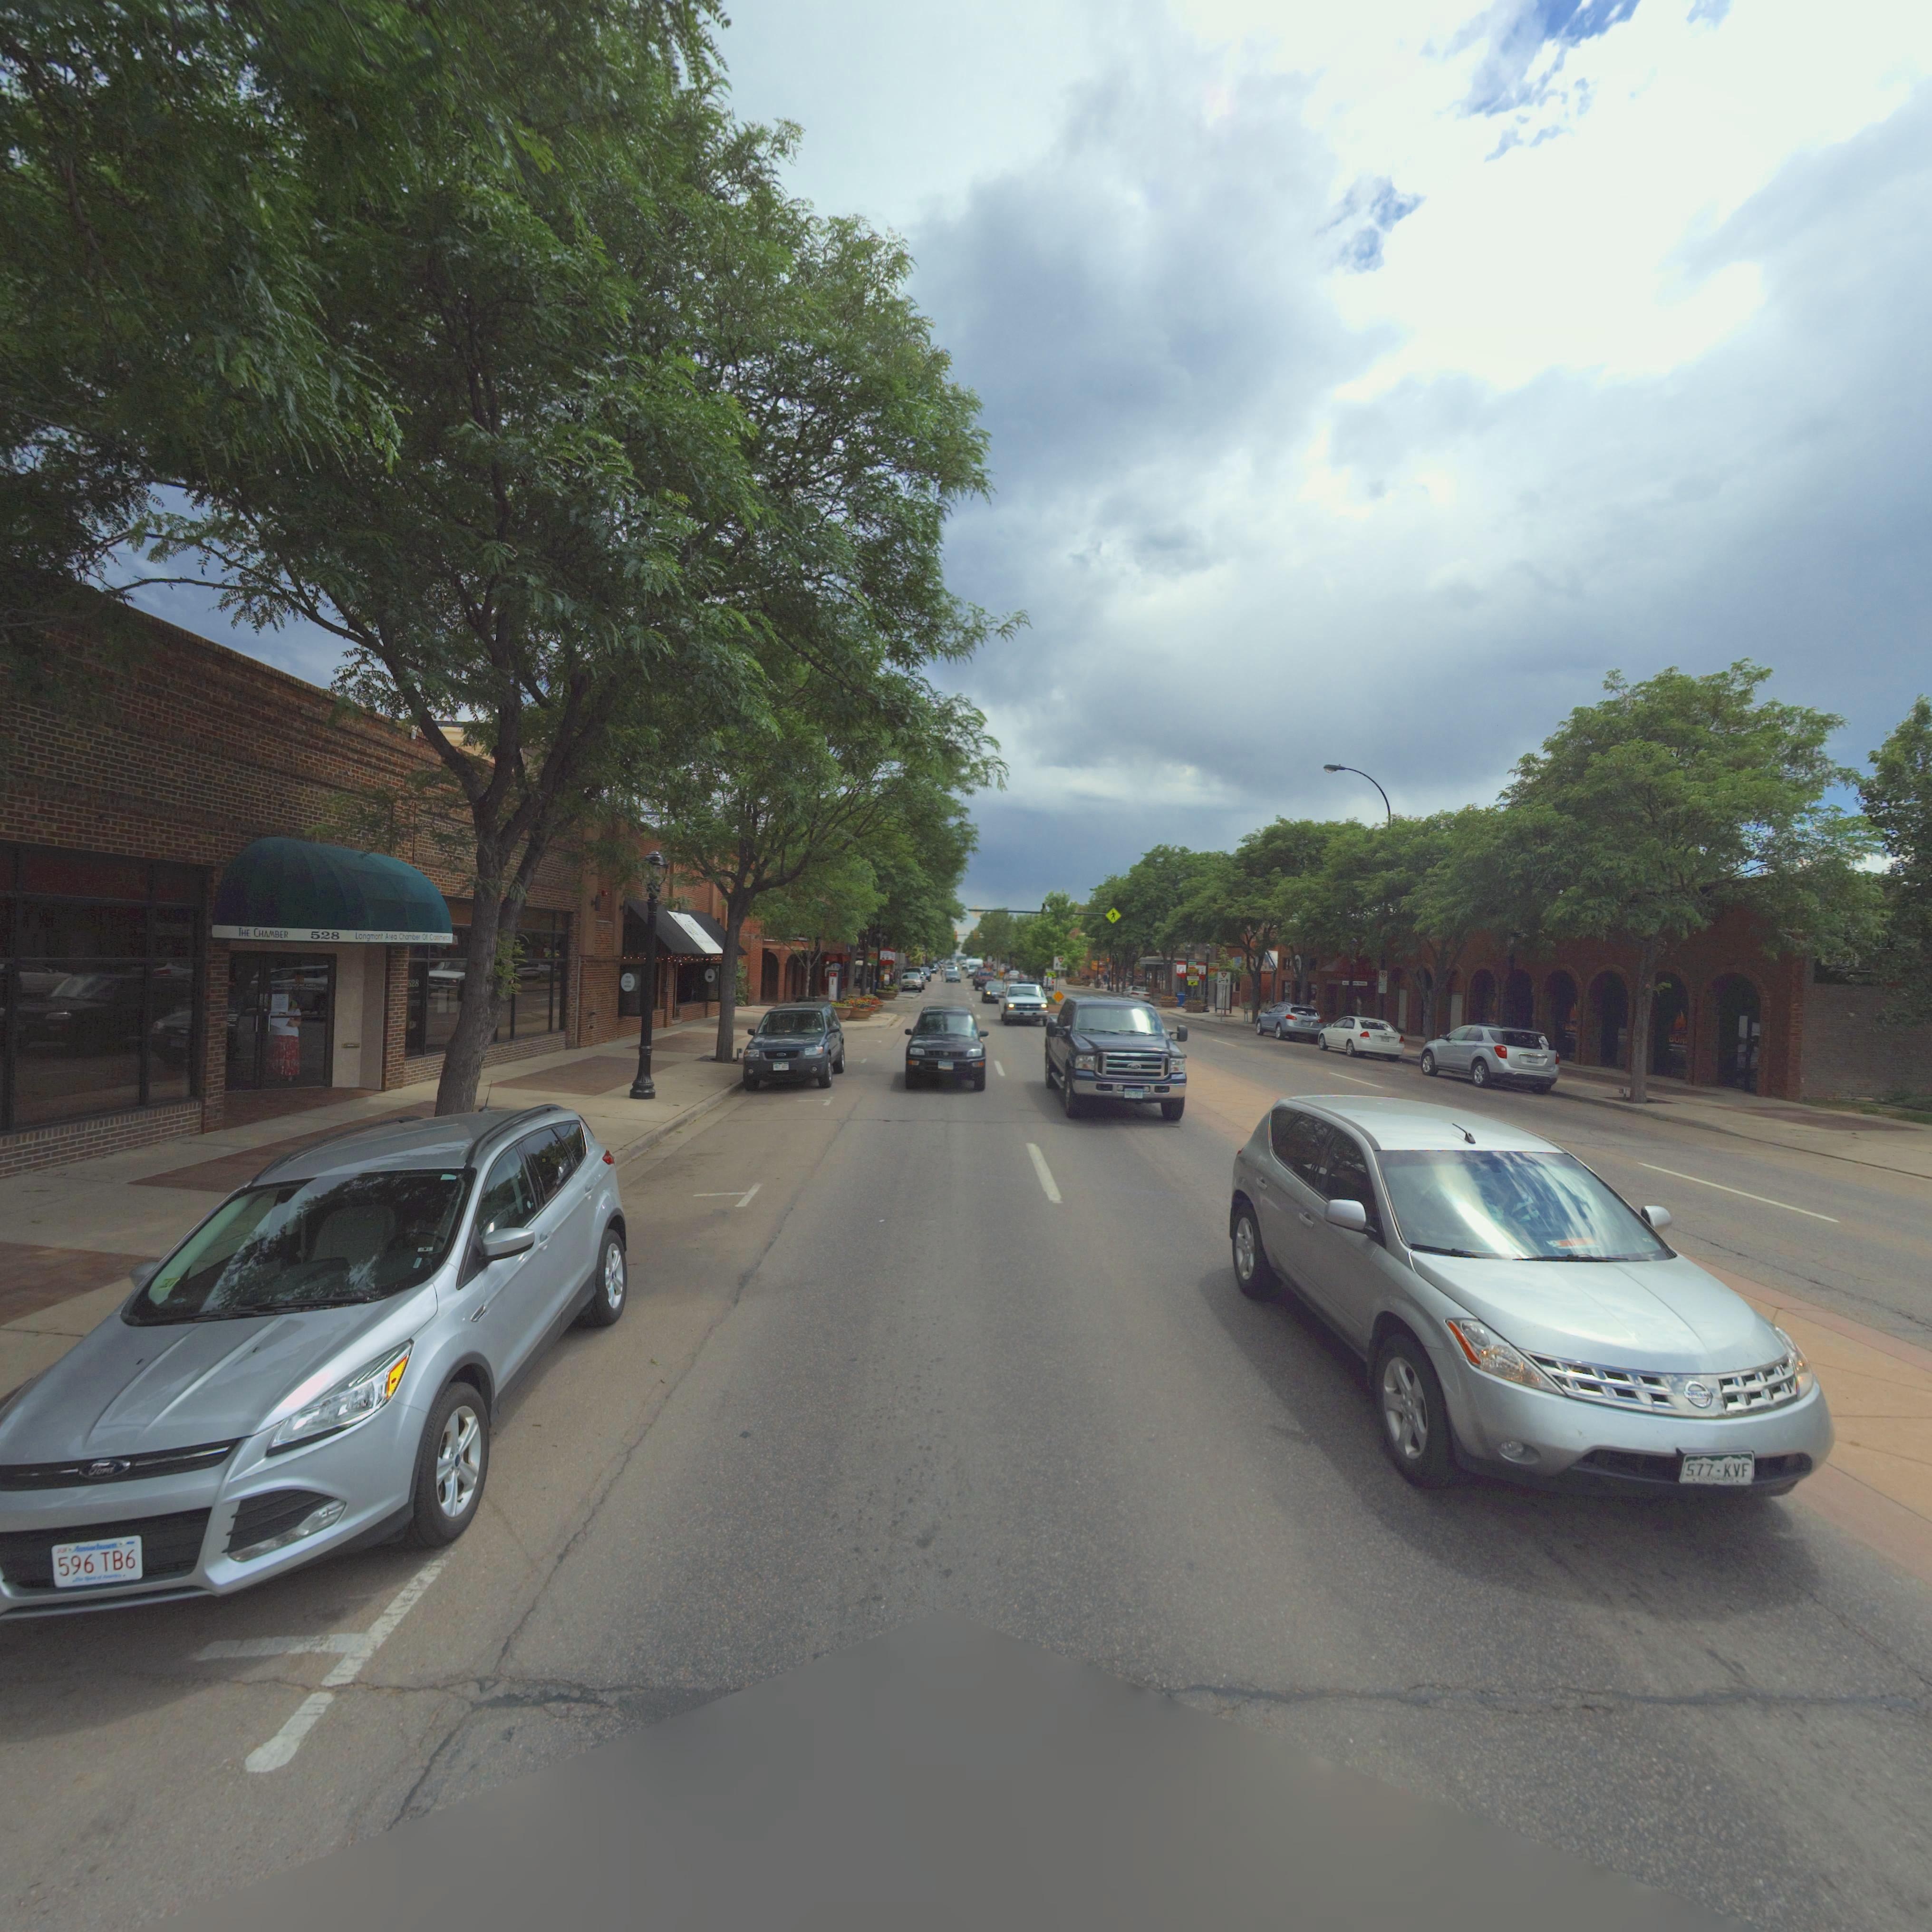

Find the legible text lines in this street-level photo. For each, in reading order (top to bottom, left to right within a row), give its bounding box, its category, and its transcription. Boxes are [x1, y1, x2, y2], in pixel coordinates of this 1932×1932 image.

[237, 926, 289, 938] BusinessName: THE CHAMBER
[310, 931, 339, 940] StreetNumber: 528
[355, 931, 451, 942] StreetNumber: Longmont Area Chamber Of Commerce
[407, 978, 419, 987] StreetNumber: 528